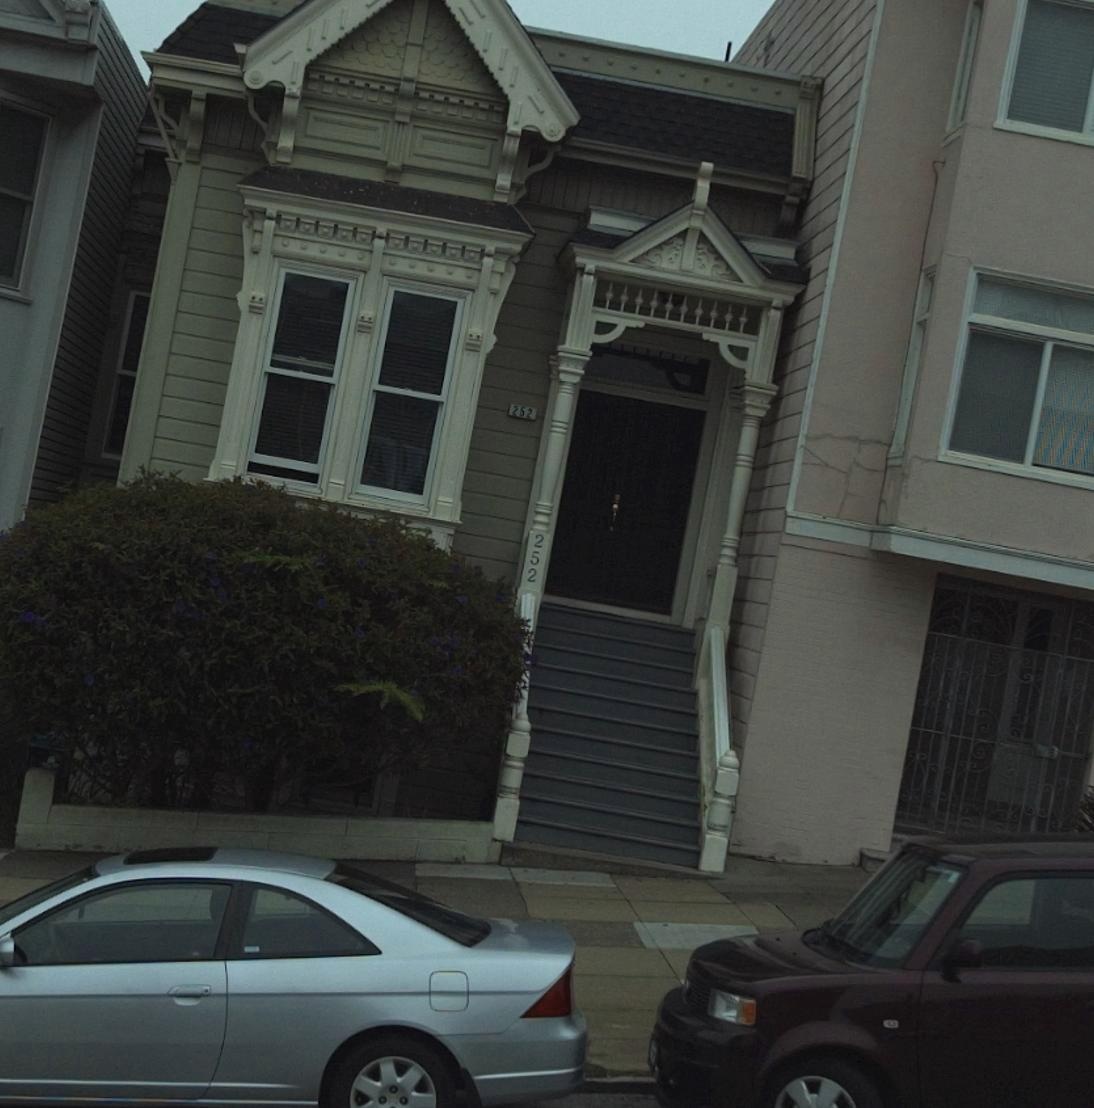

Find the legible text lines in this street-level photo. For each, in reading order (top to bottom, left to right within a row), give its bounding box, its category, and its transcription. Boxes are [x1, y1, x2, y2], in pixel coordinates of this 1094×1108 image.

[509, 404, 534, 420] StreetNumber: 262
[524, 533, 546, 584] StreetNumber: 252